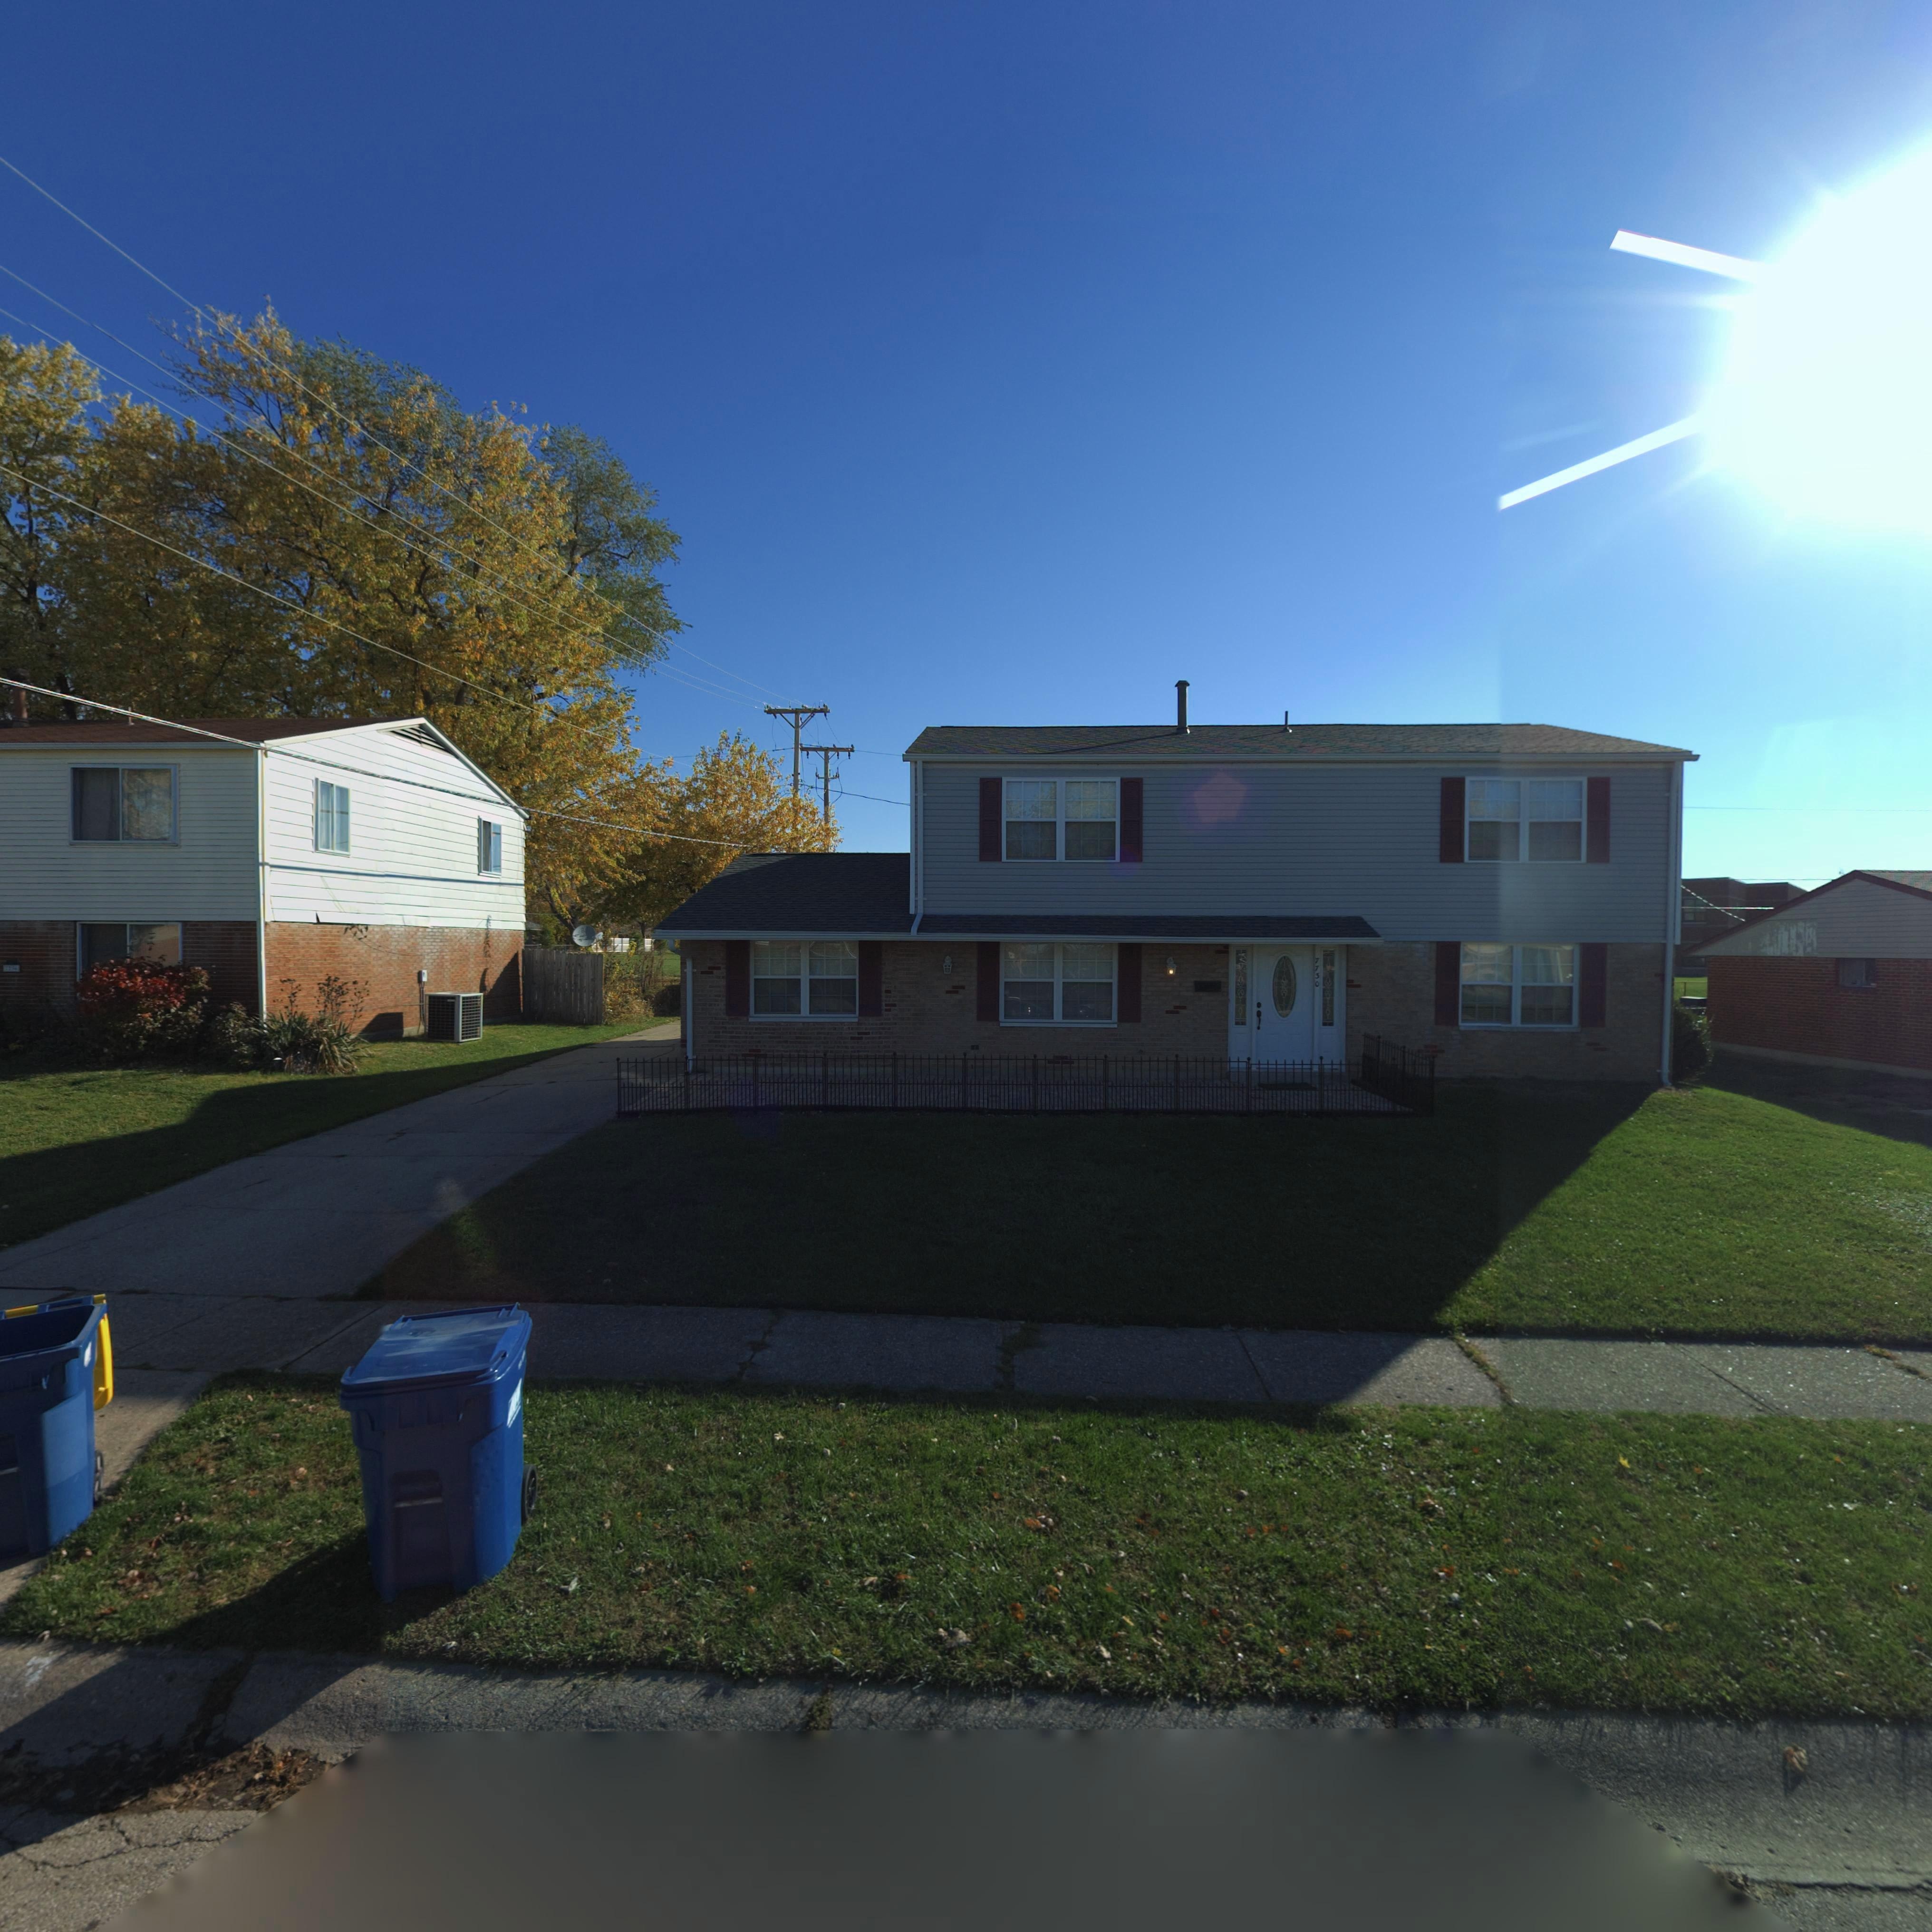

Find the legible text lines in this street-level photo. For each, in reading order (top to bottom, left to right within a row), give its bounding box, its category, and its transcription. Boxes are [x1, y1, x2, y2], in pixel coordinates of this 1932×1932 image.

[3, 965, 18, 971] StreetNumber: 77*6
[1314, 957, 1320, 988] StreetNumber: 7730